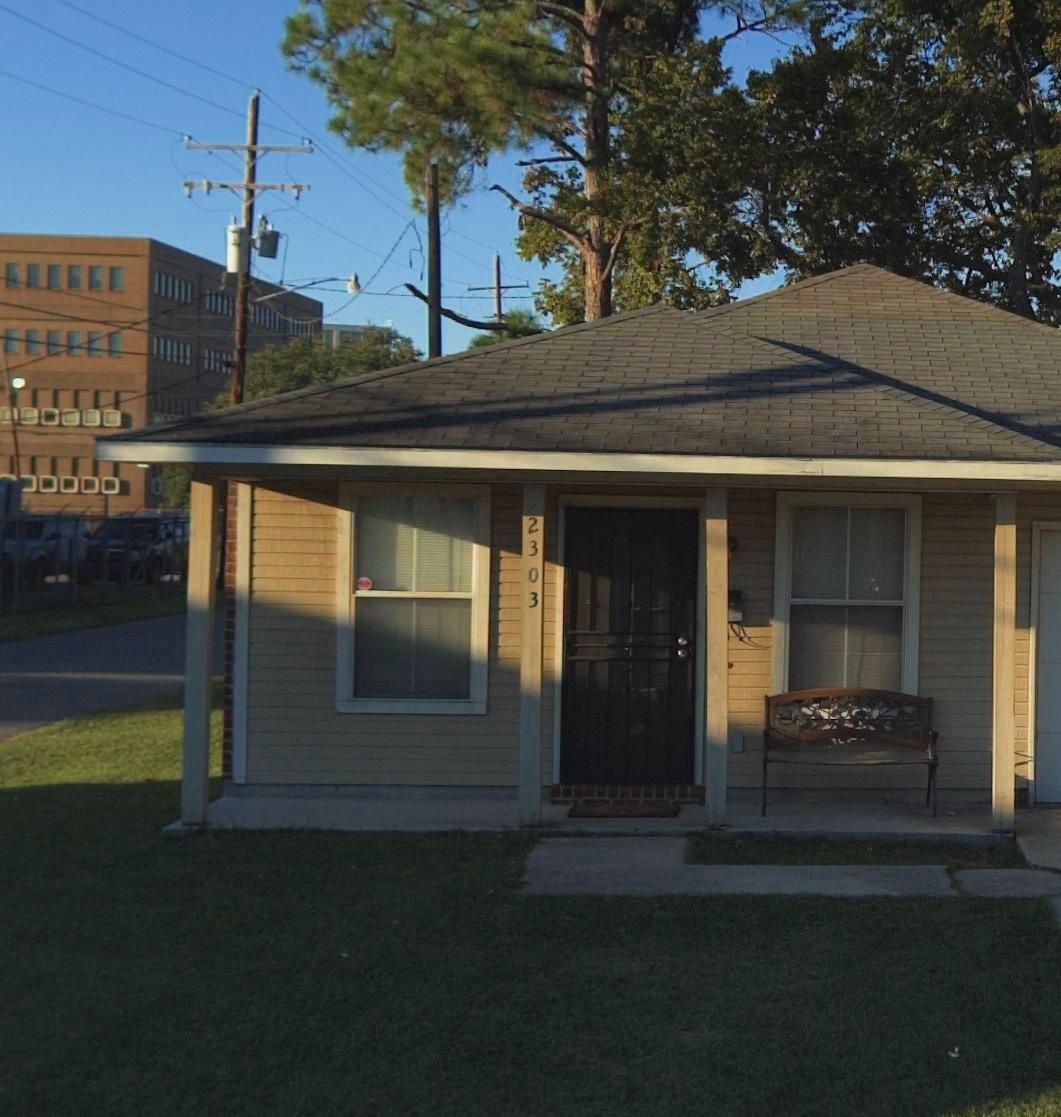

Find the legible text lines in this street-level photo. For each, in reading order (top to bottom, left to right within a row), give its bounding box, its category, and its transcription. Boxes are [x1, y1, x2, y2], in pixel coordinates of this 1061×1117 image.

[526, 515, 540, 610] StreetNumber: 2303